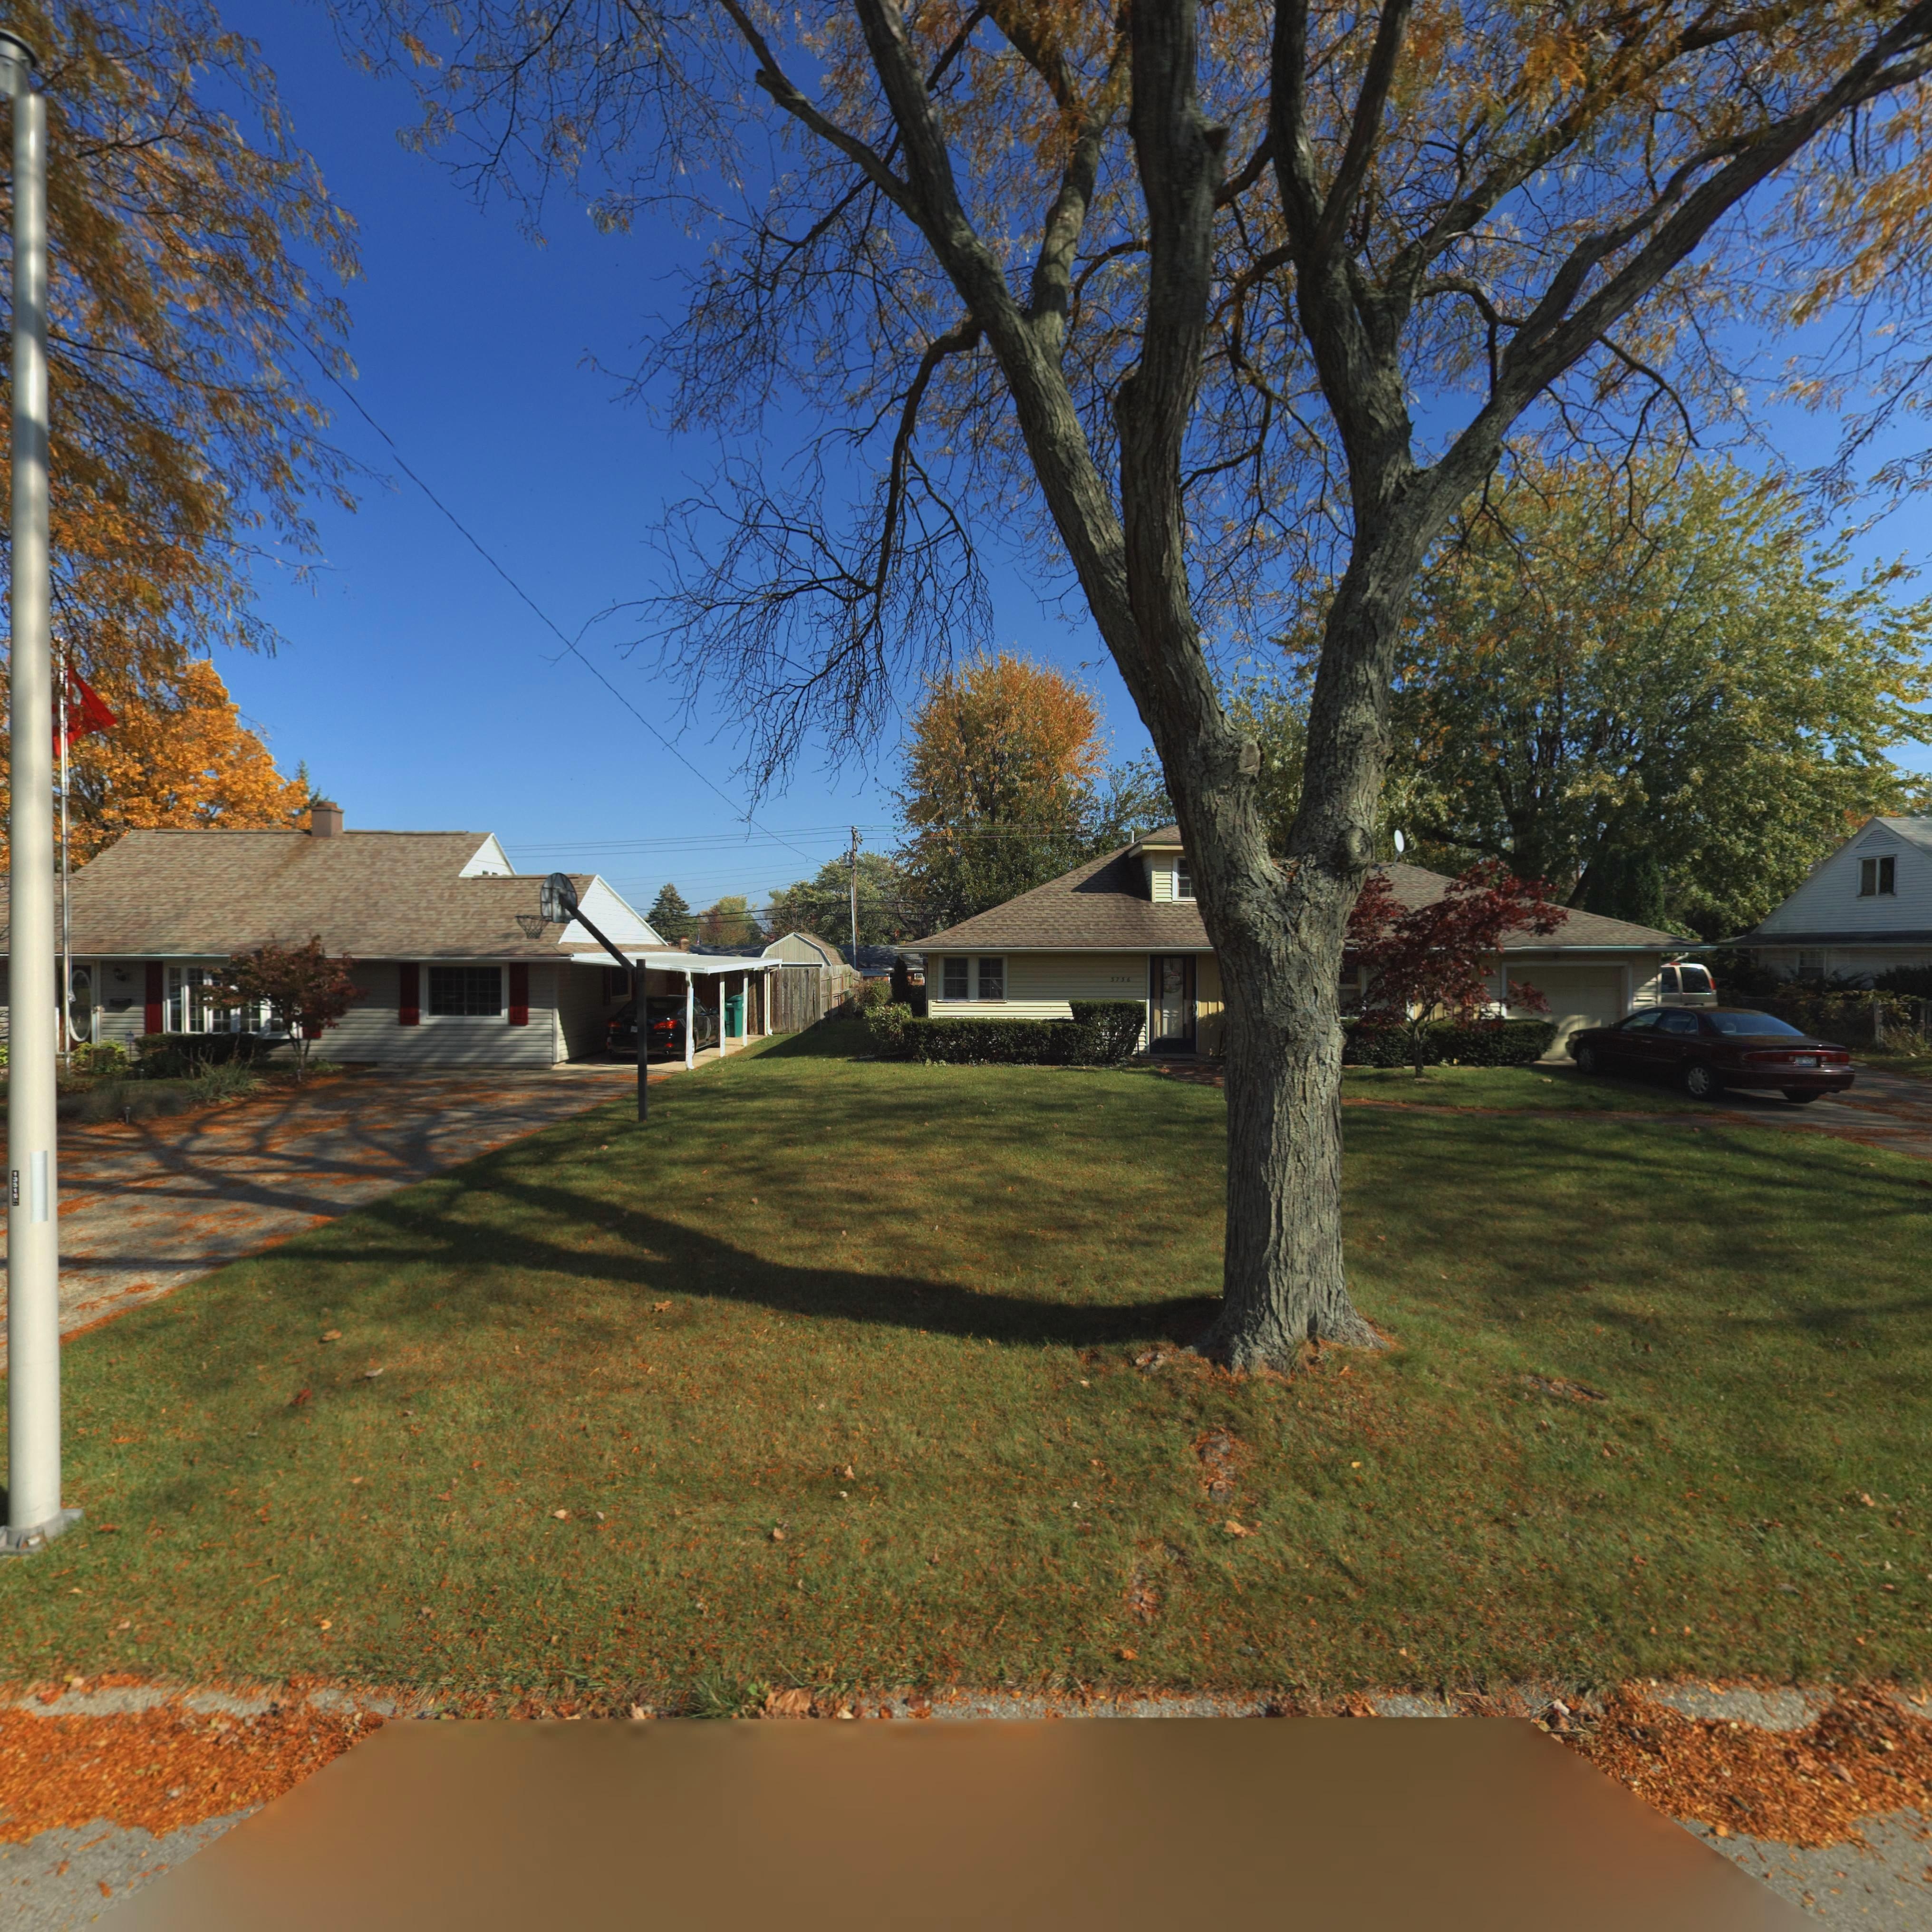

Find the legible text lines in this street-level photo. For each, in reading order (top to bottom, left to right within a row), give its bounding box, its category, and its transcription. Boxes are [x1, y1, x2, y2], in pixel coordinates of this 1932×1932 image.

[1110, 976, 1131, 983] StreetNumber: *7*6